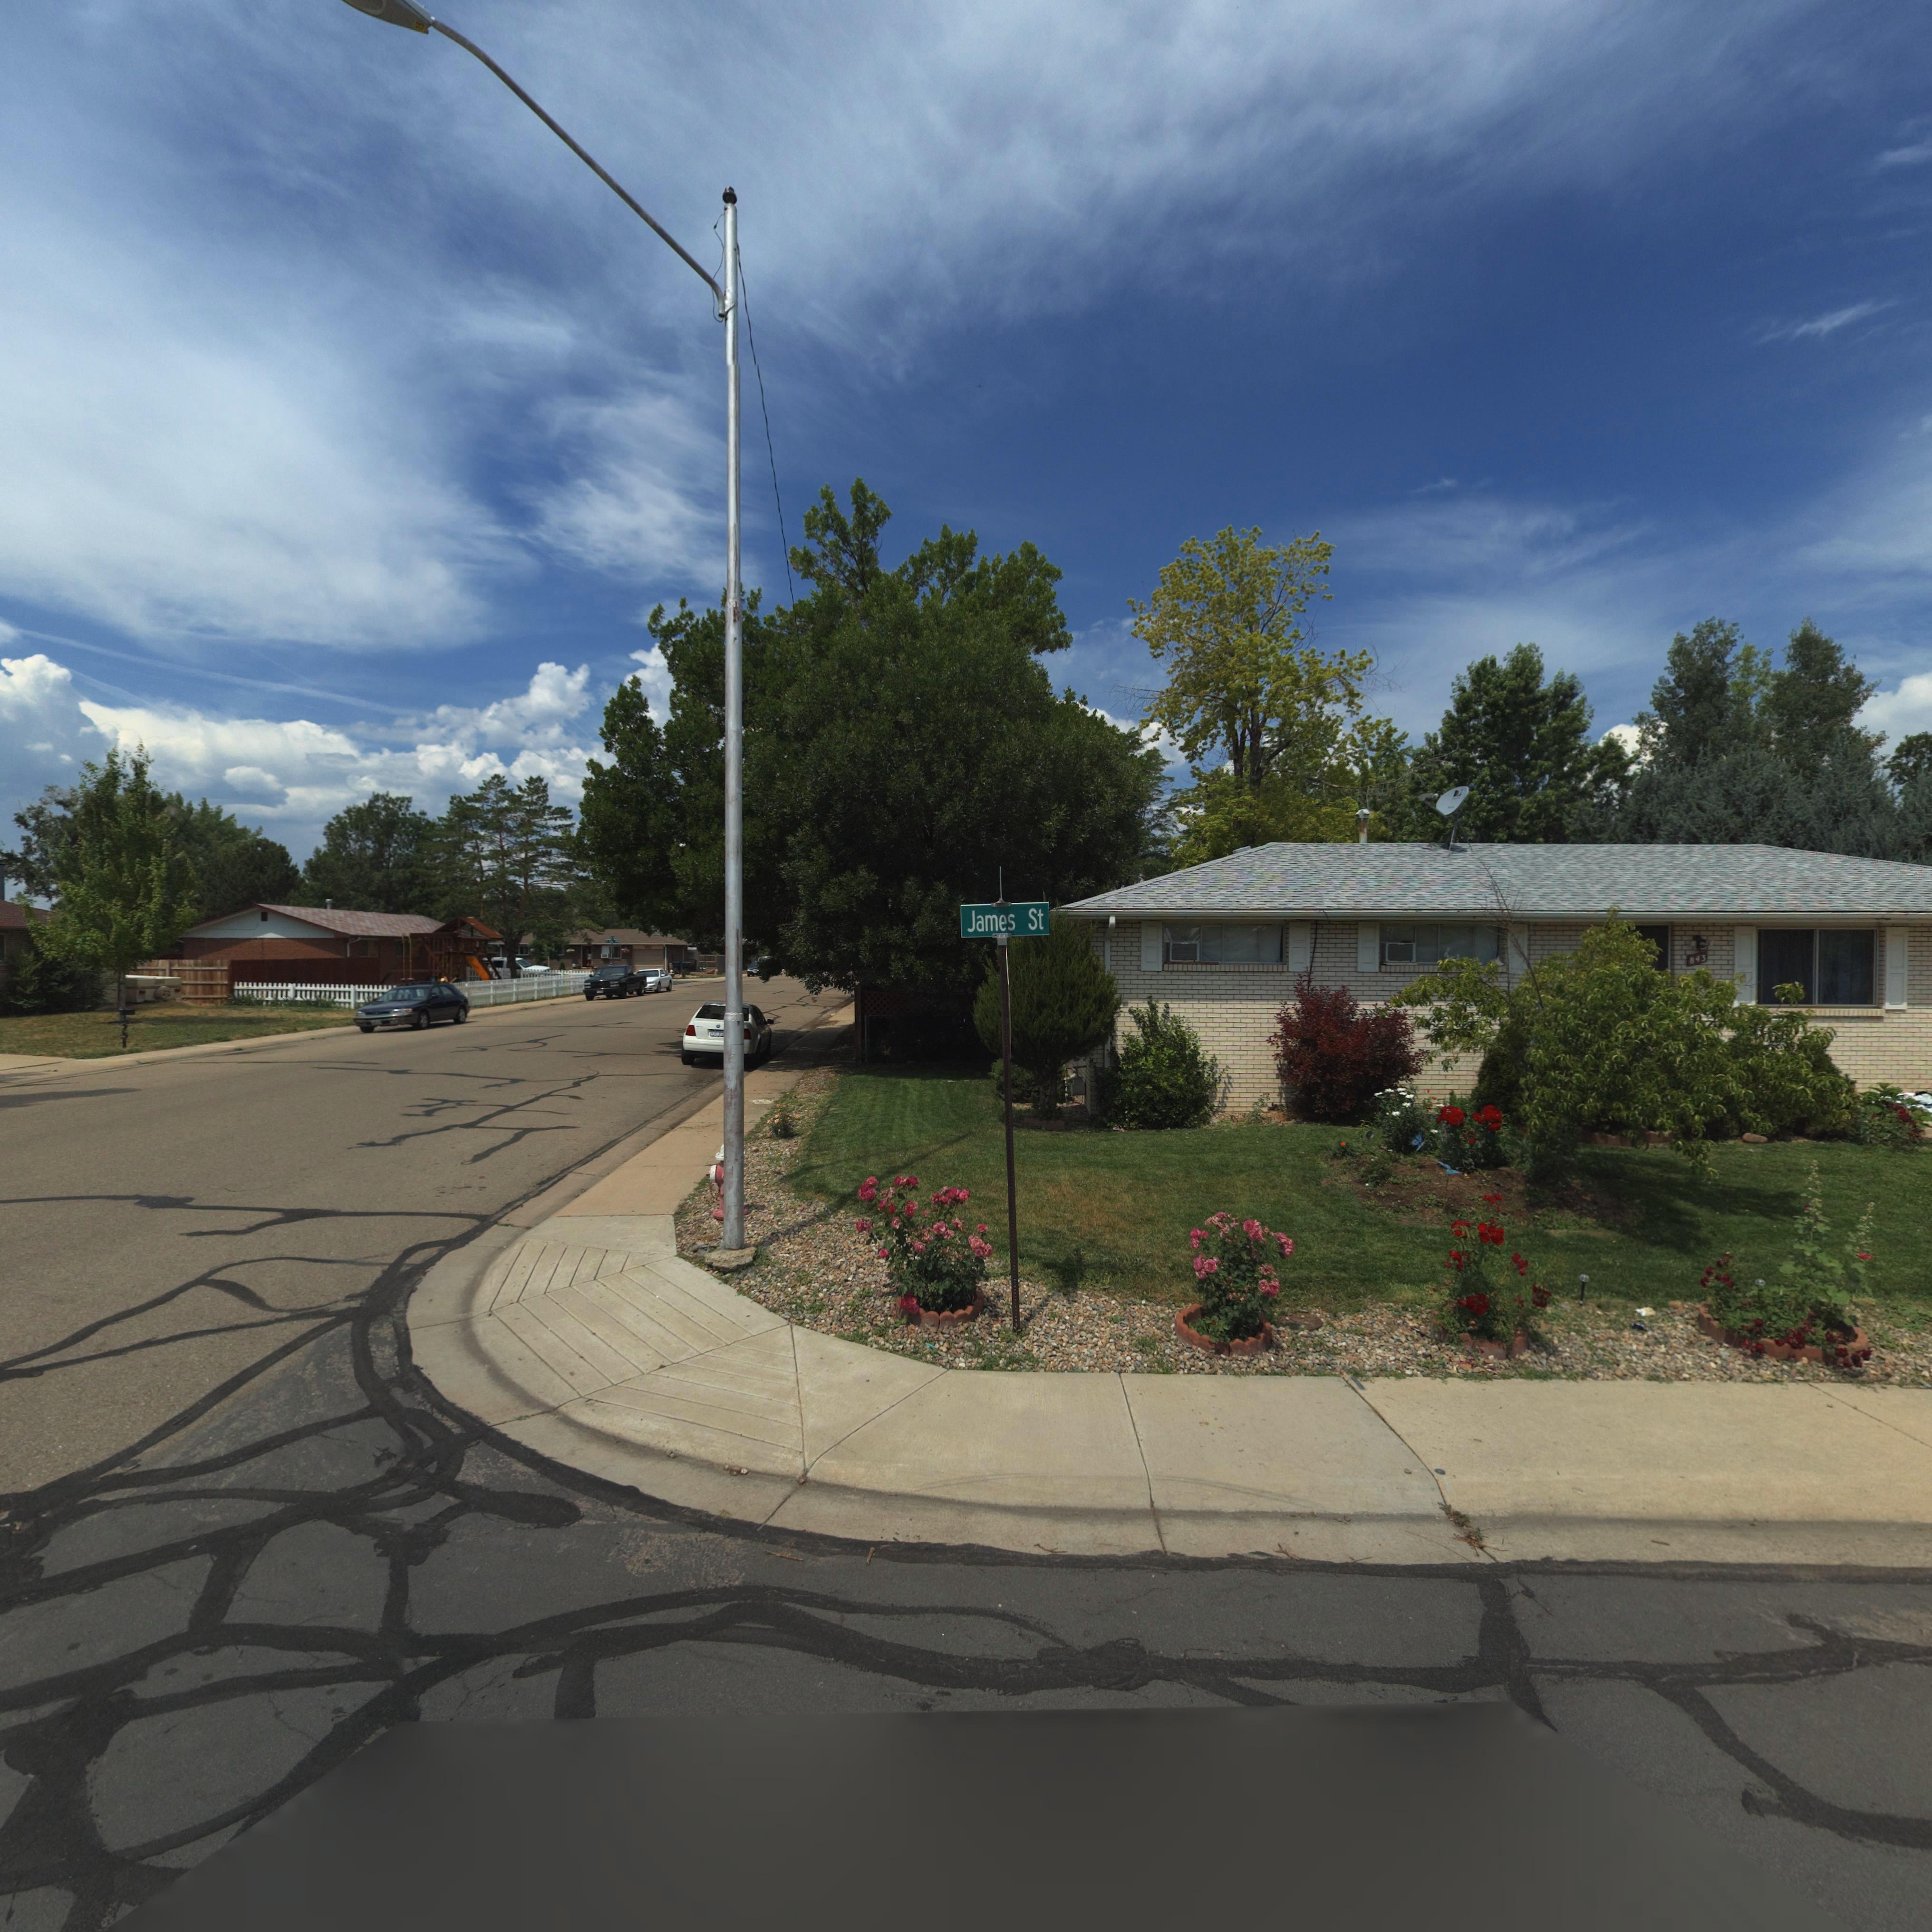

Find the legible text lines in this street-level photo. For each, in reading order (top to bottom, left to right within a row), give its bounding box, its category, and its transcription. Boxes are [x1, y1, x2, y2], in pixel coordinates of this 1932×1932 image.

[966, 908, 1044, 932] StreetName: James St
[1690, 954, 1706, 964] StreetNumber: 843